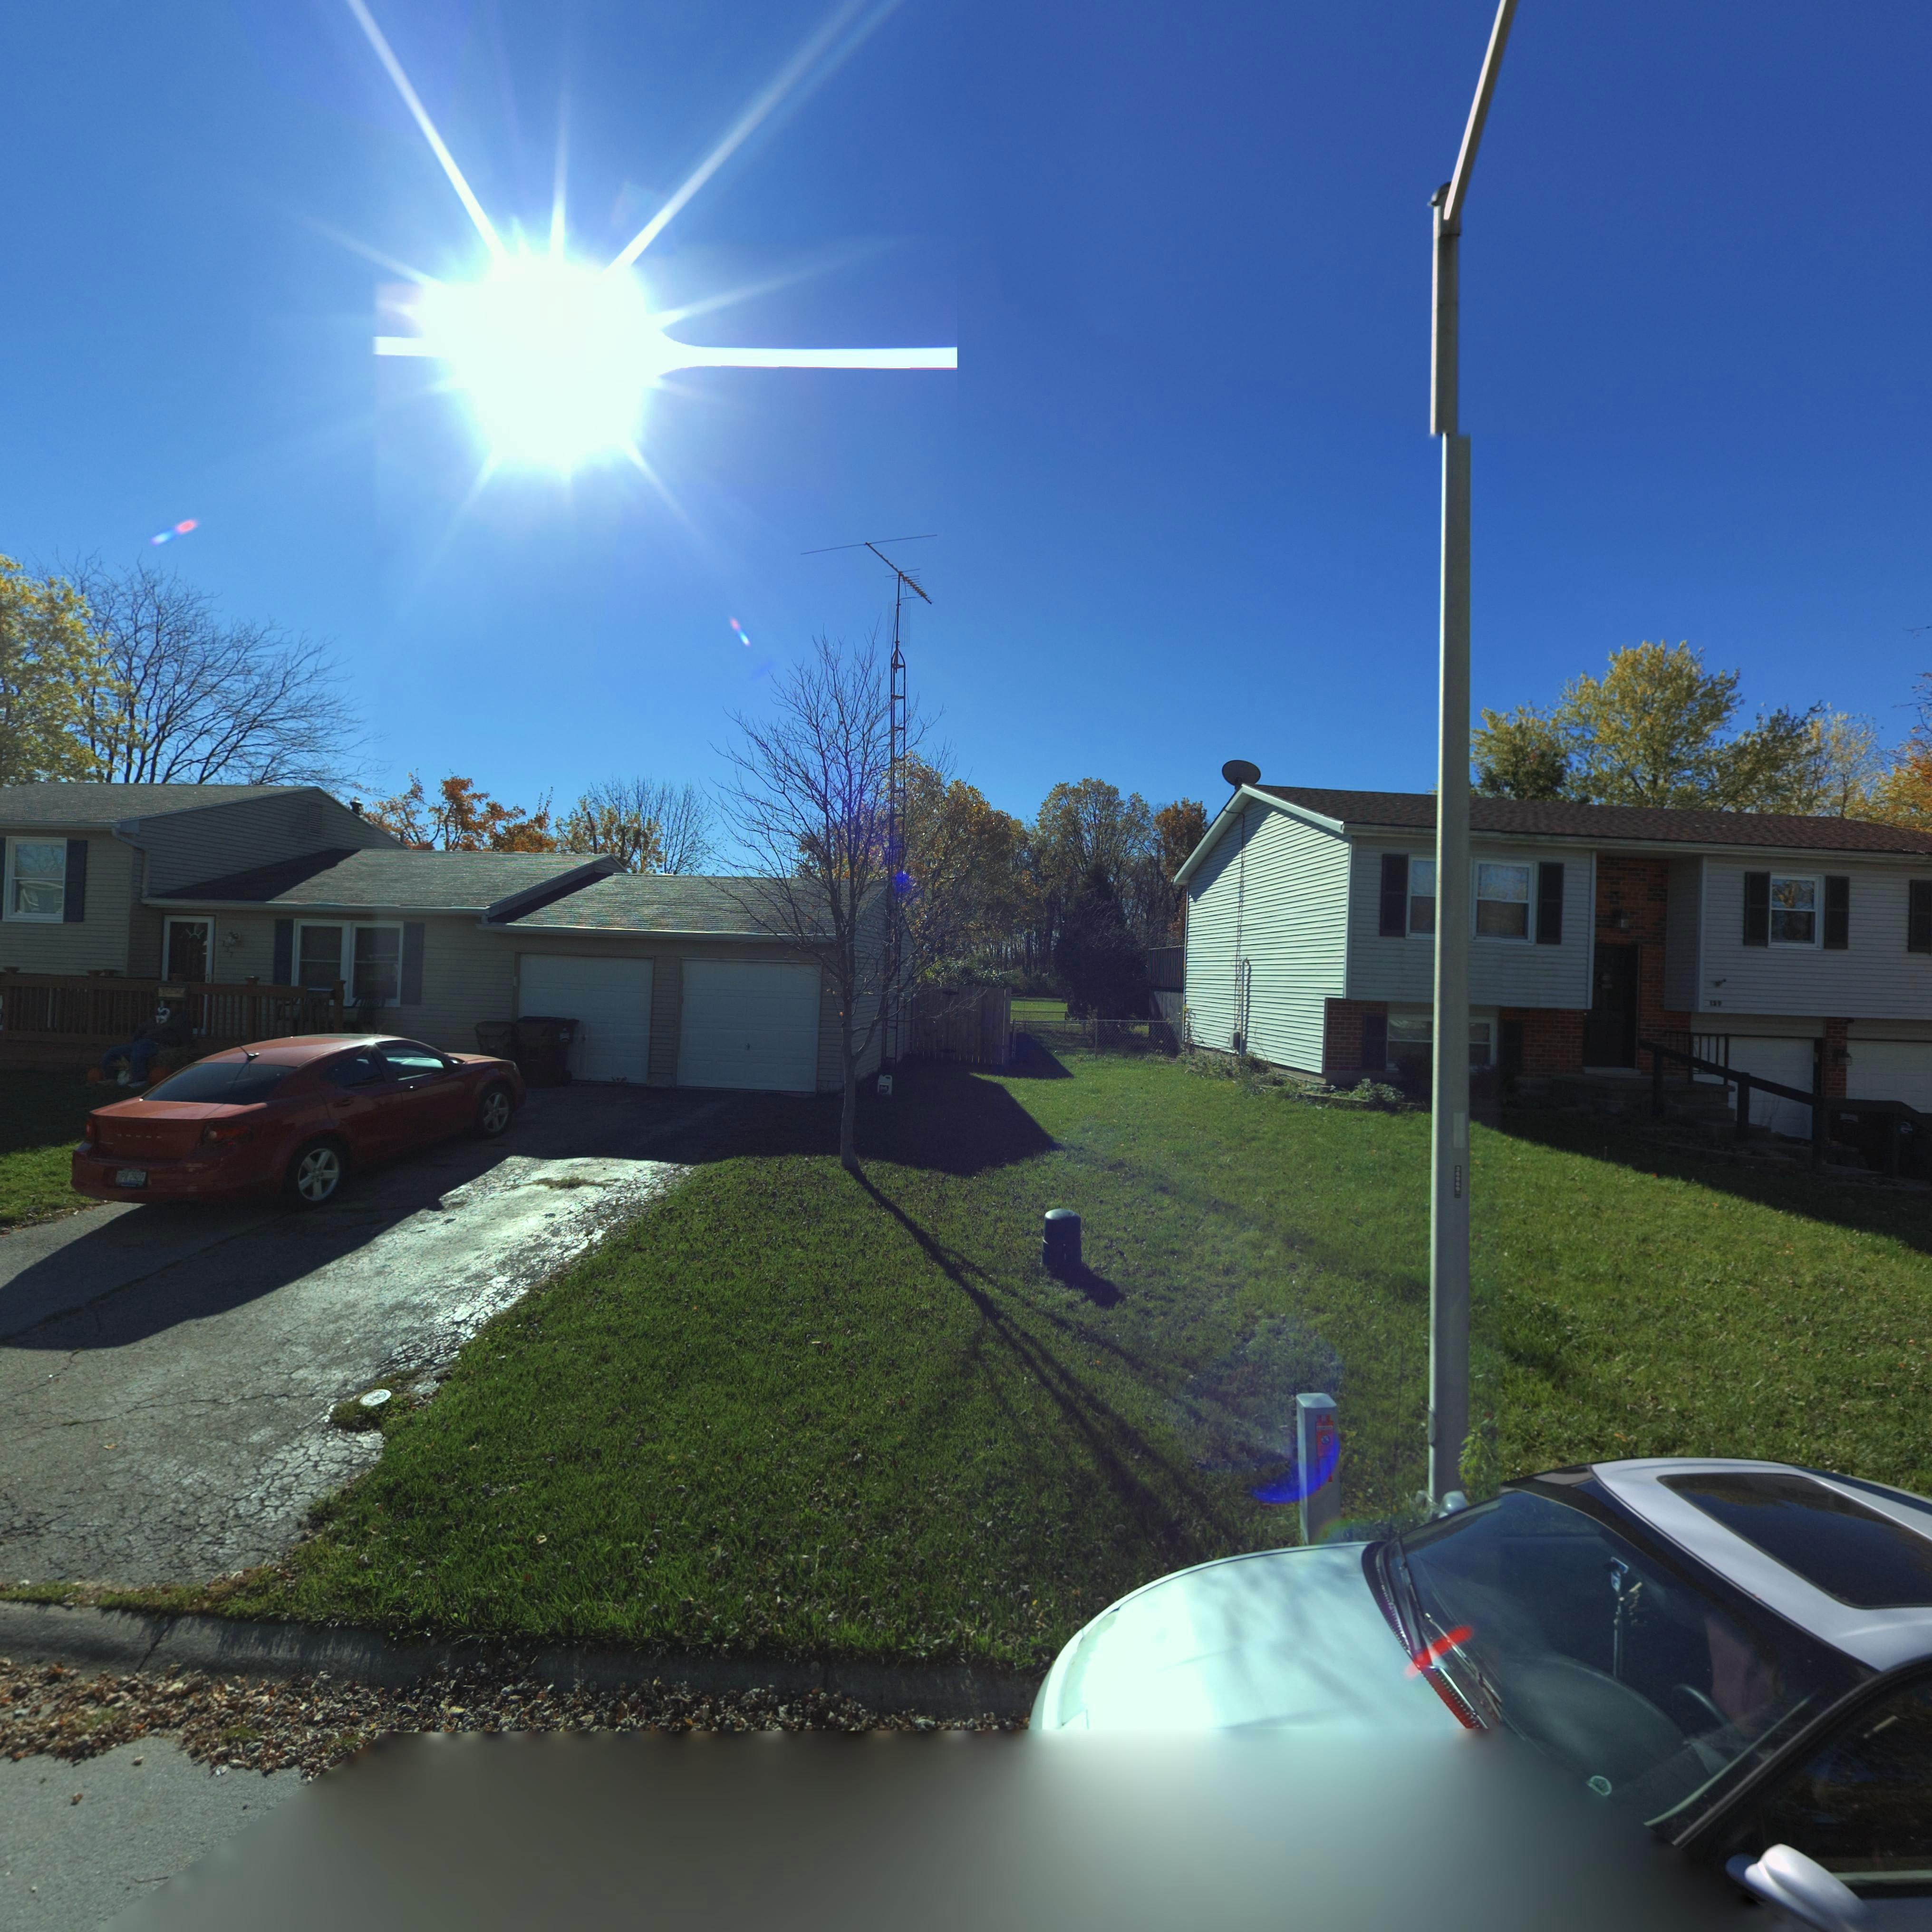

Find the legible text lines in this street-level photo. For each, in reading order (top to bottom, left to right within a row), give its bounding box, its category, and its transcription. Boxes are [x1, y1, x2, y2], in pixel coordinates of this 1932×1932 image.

[221, 939, 236, 959] StreetNumber: 137
[1708, 999, 1723, 1008] StreetNumber: 1*9